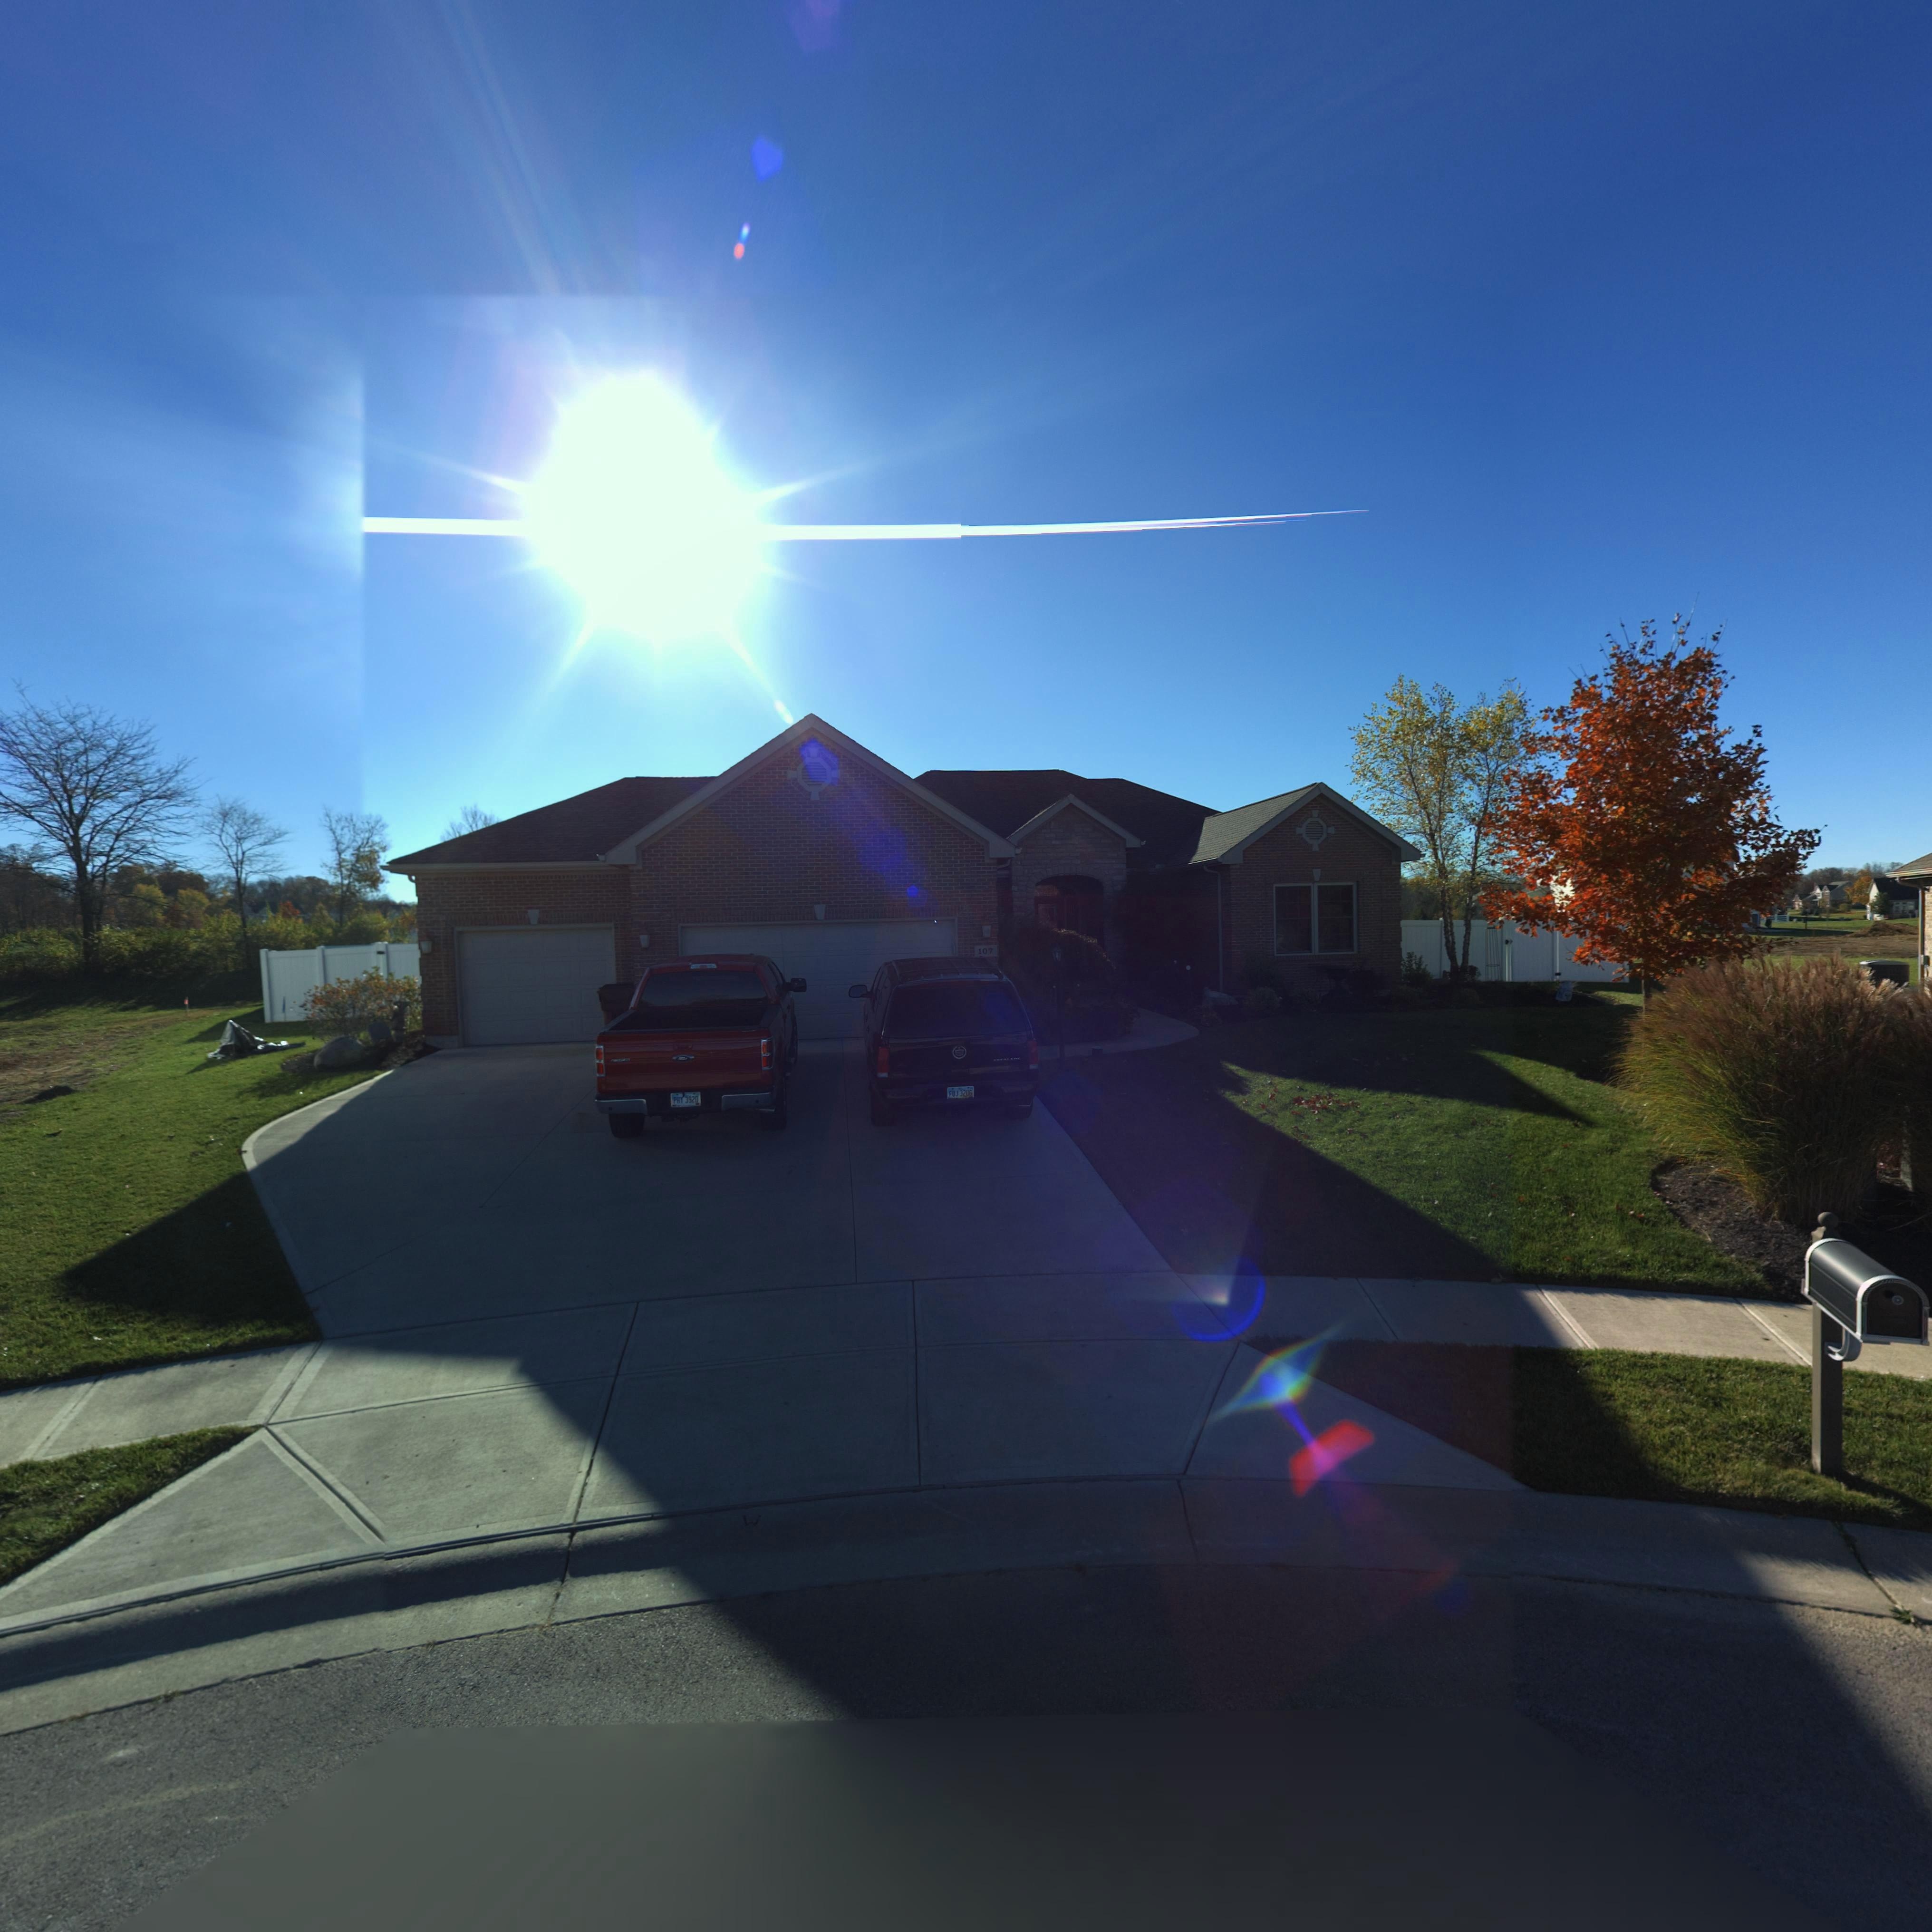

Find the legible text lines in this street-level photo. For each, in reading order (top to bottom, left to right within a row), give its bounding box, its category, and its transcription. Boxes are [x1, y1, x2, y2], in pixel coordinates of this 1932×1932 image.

[977, 947, 994, 955] StreetNumber: 107
[948, 1088, 973, 1097] None: FUJ 3206
[672, 1095, 699, 1104] None: P** 3920